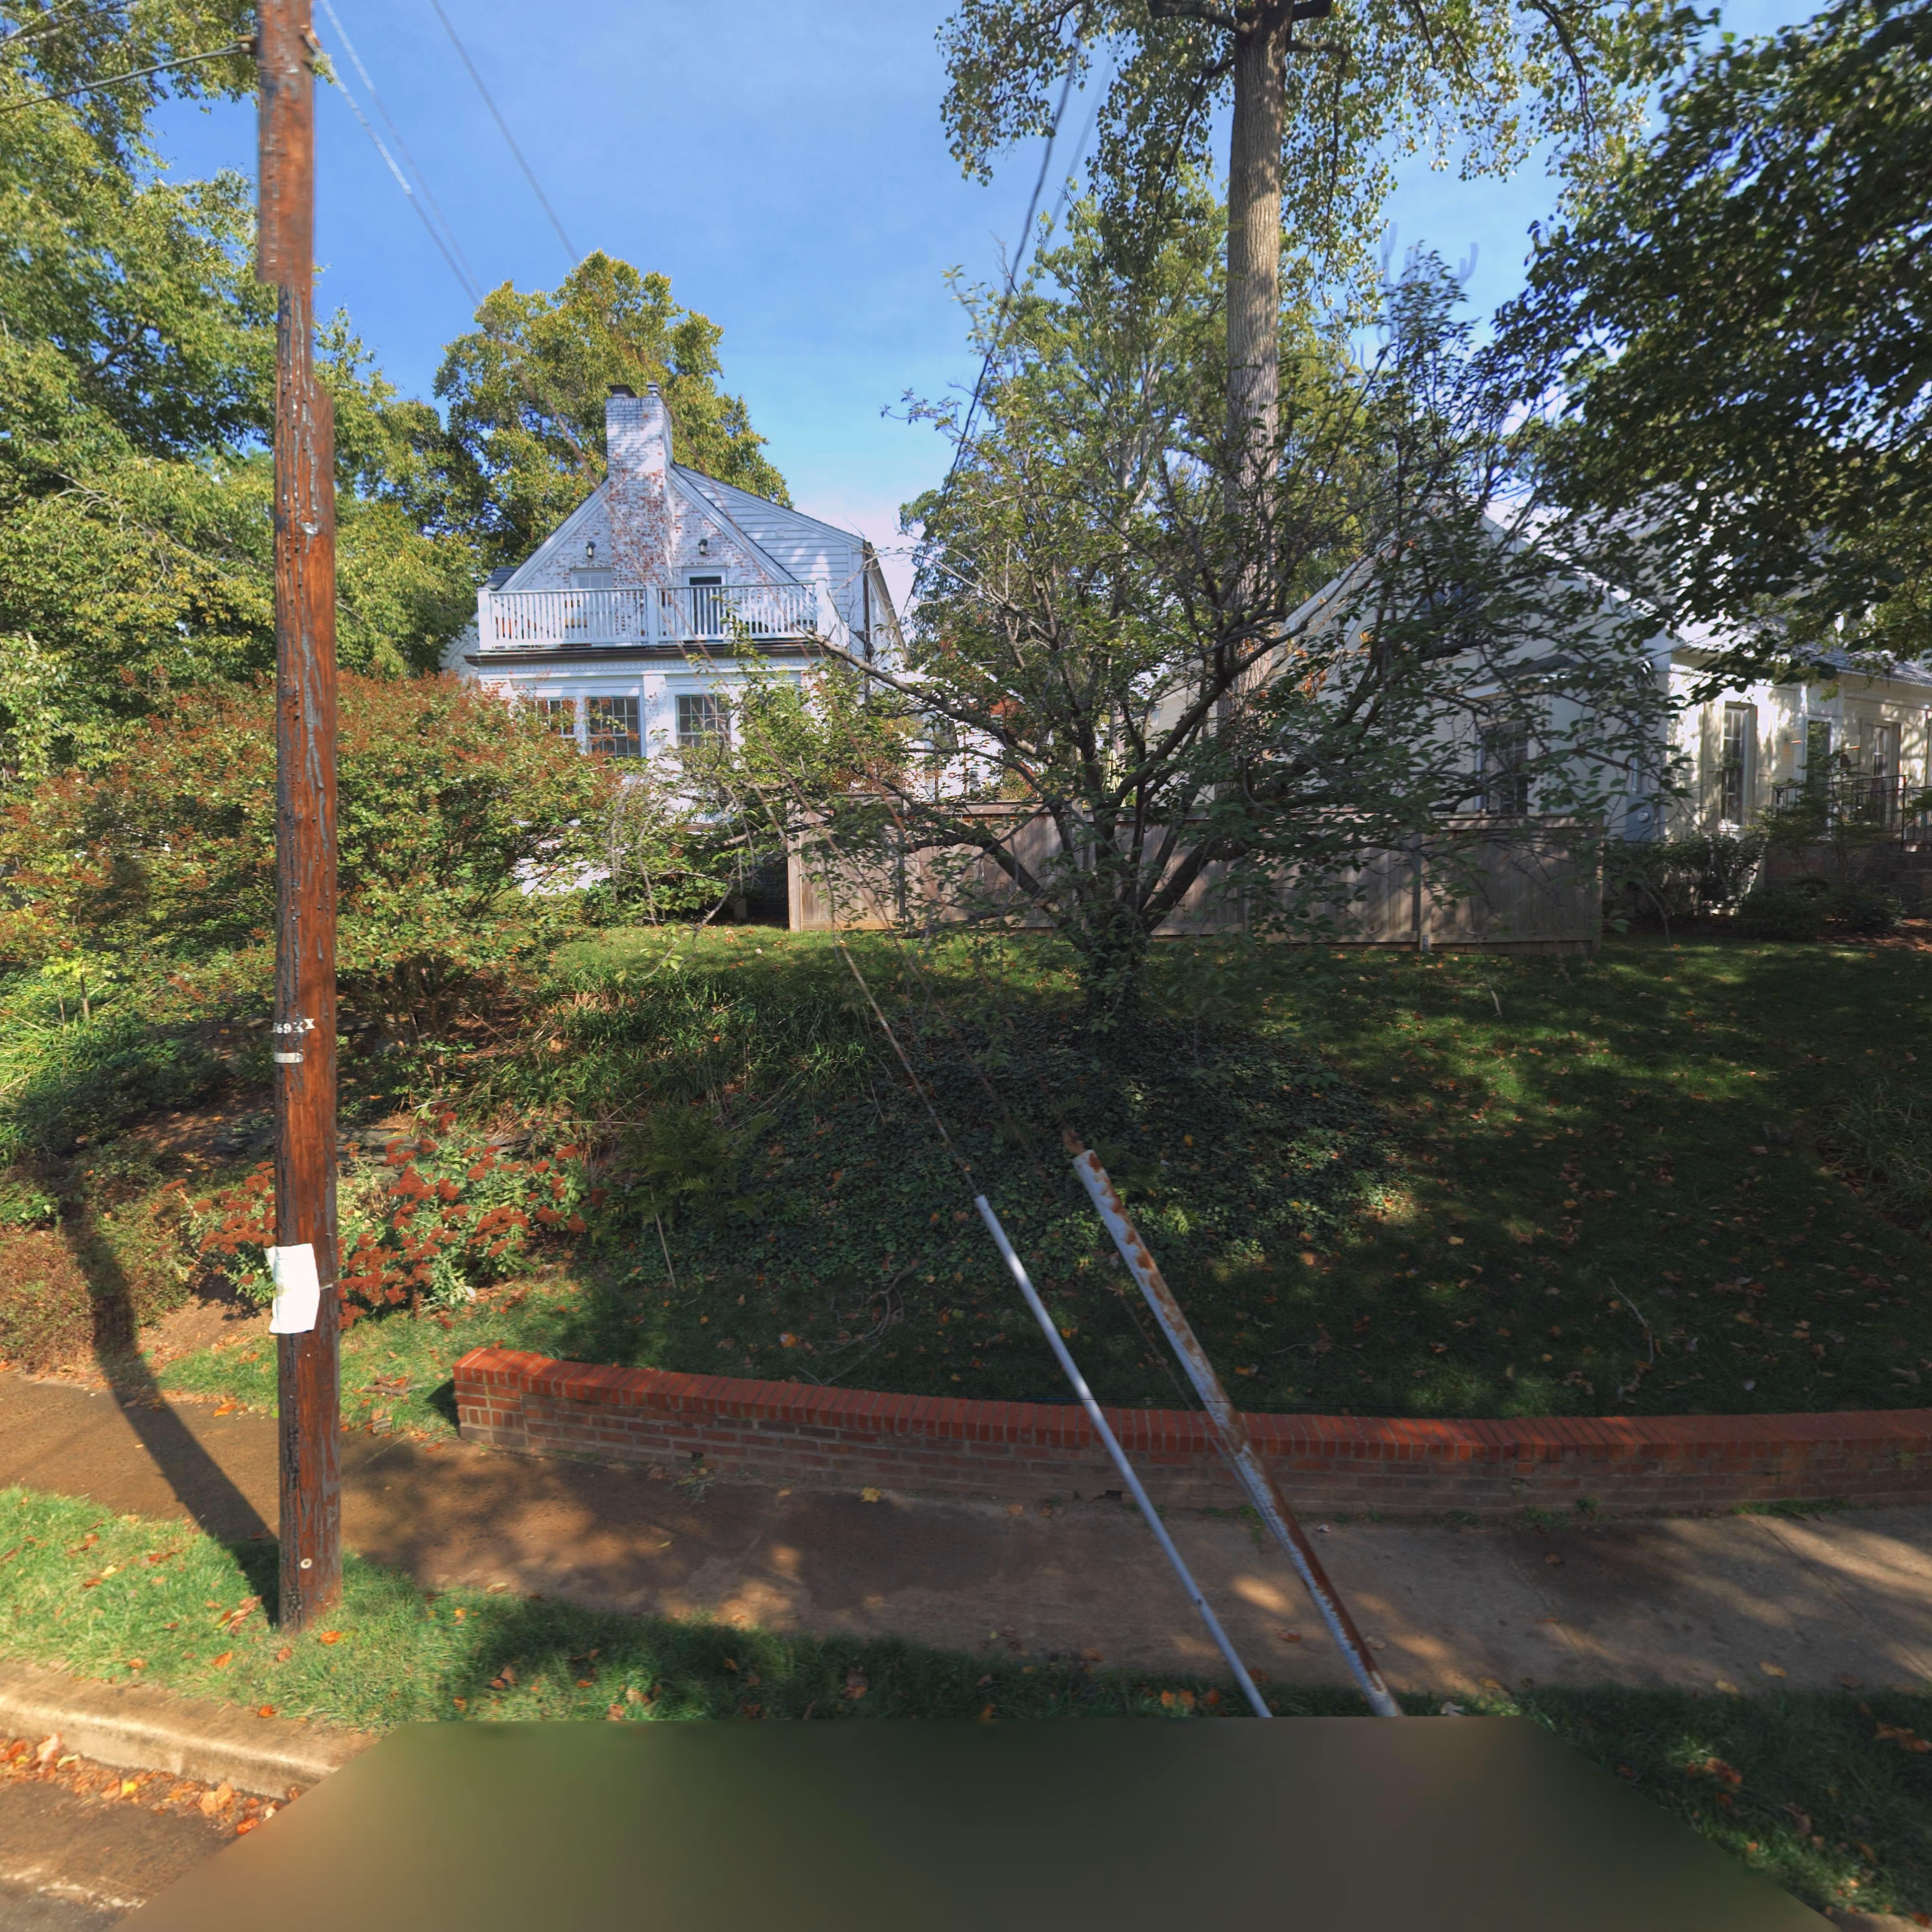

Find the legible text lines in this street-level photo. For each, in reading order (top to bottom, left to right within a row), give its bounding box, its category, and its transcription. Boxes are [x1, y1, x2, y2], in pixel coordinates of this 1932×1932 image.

[275, 1022, 292, 1035] None: 69
[302, 1017, 317, 1030] None: X